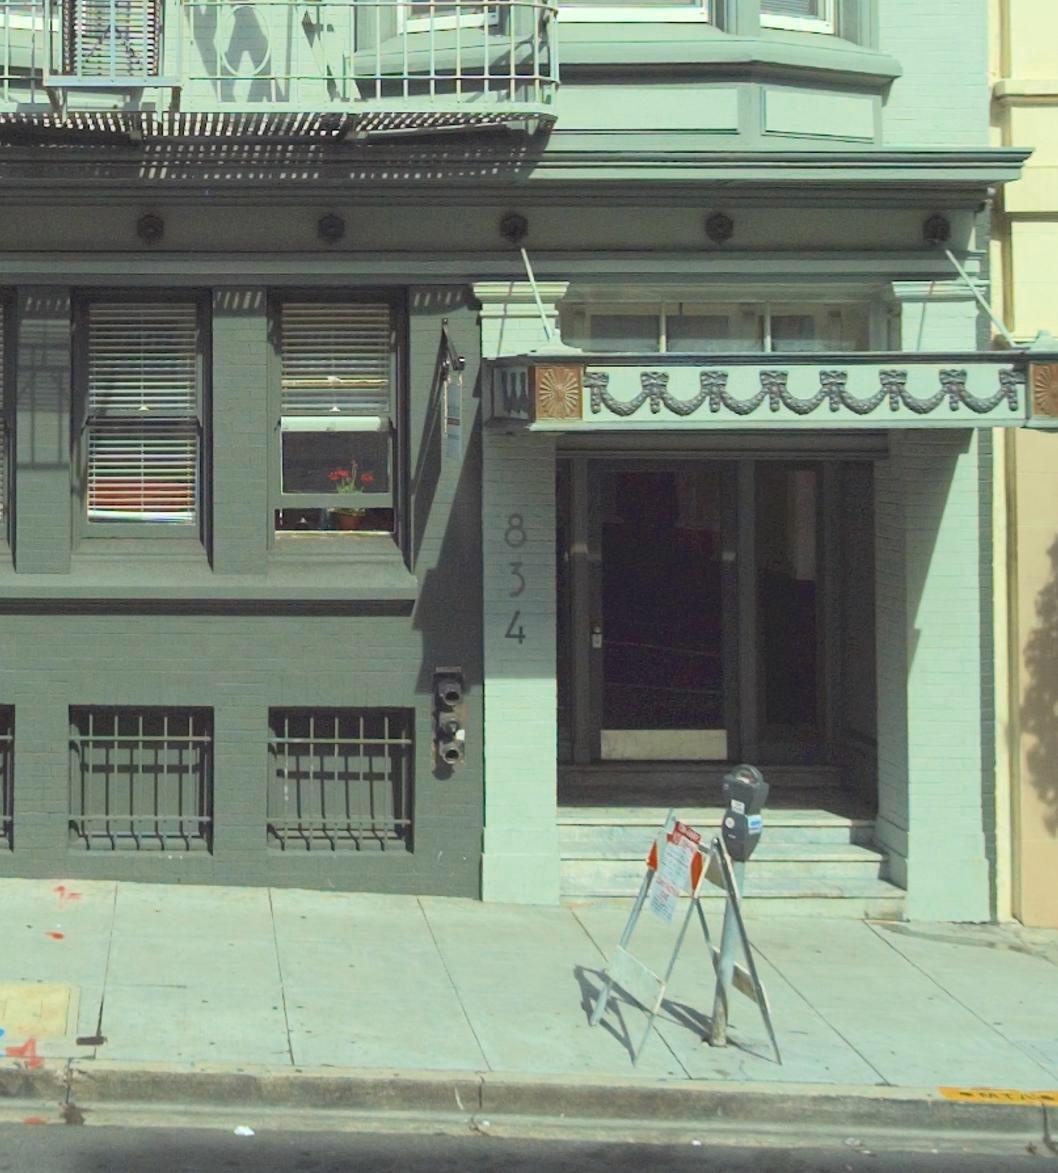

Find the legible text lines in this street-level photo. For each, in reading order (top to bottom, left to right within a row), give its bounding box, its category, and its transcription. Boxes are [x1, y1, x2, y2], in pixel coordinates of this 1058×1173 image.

[500, 506, 533, 650] StreetNumber: 834